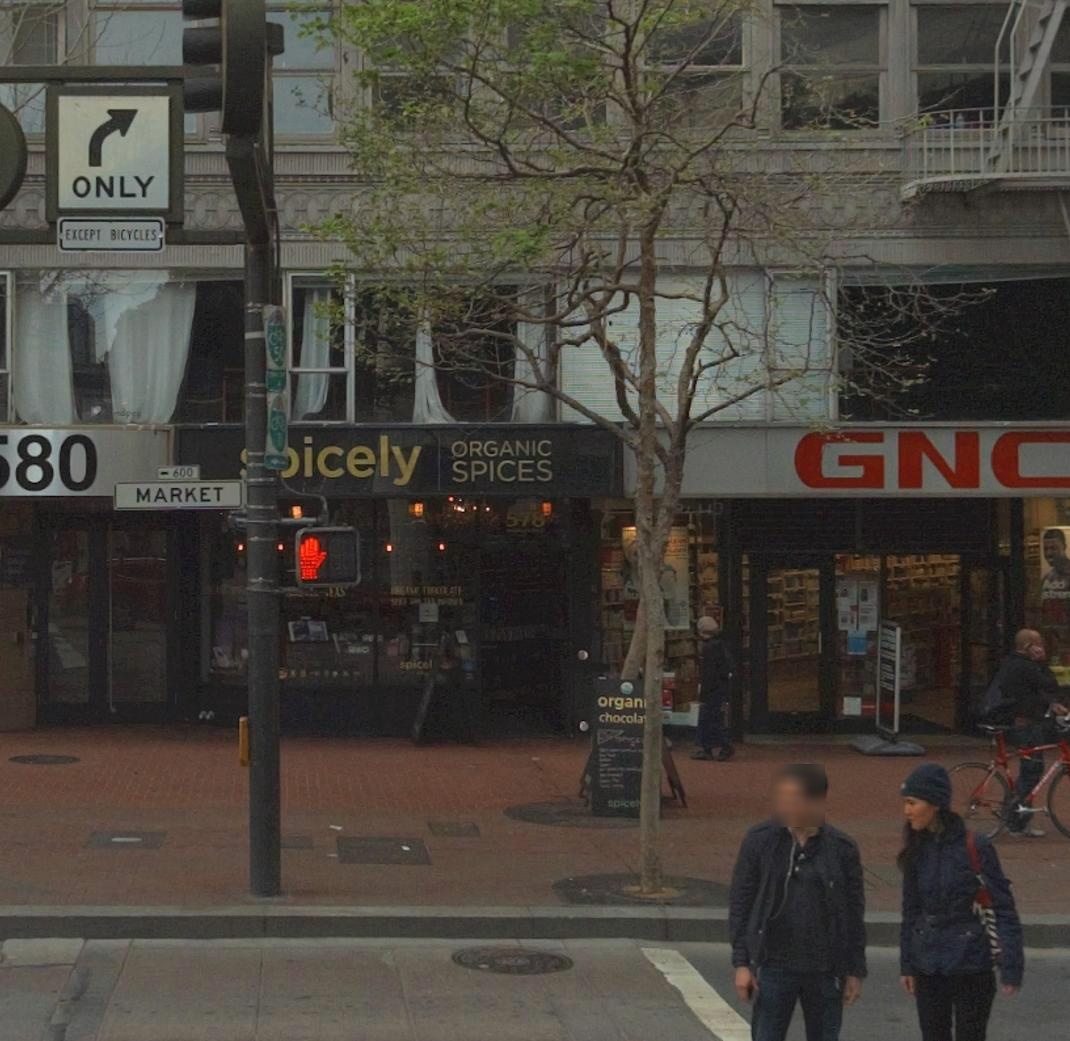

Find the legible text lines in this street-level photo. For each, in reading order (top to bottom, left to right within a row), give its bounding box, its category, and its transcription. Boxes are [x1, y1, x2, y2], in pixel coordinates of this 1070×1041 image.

[70, 174, 157, 200] None: ONLY
[64, 227, 159, 242] None: EXCEPT BICYCLES
[449, 438, 554, 458] None: ORGANIC
[14, 432, 99, 493] StreetNumber: 80
[158, 467, 195, 479] StreetNumberRange: <-600
[303, 434, 425, 486] BusinessName: icely
[450, 458, 555, 484] None: SPICES
[792, 429, 982, 490] BusinessName: GN
[134, 486, 227, 504] StreetName: MARKET
[506, 510, 547, 529] StreetNumber: 578
[398, 657, 430, 672] None: spice
[596, 695, 643, 711] None: organ
[597, 711, 644, 725] None: chocola